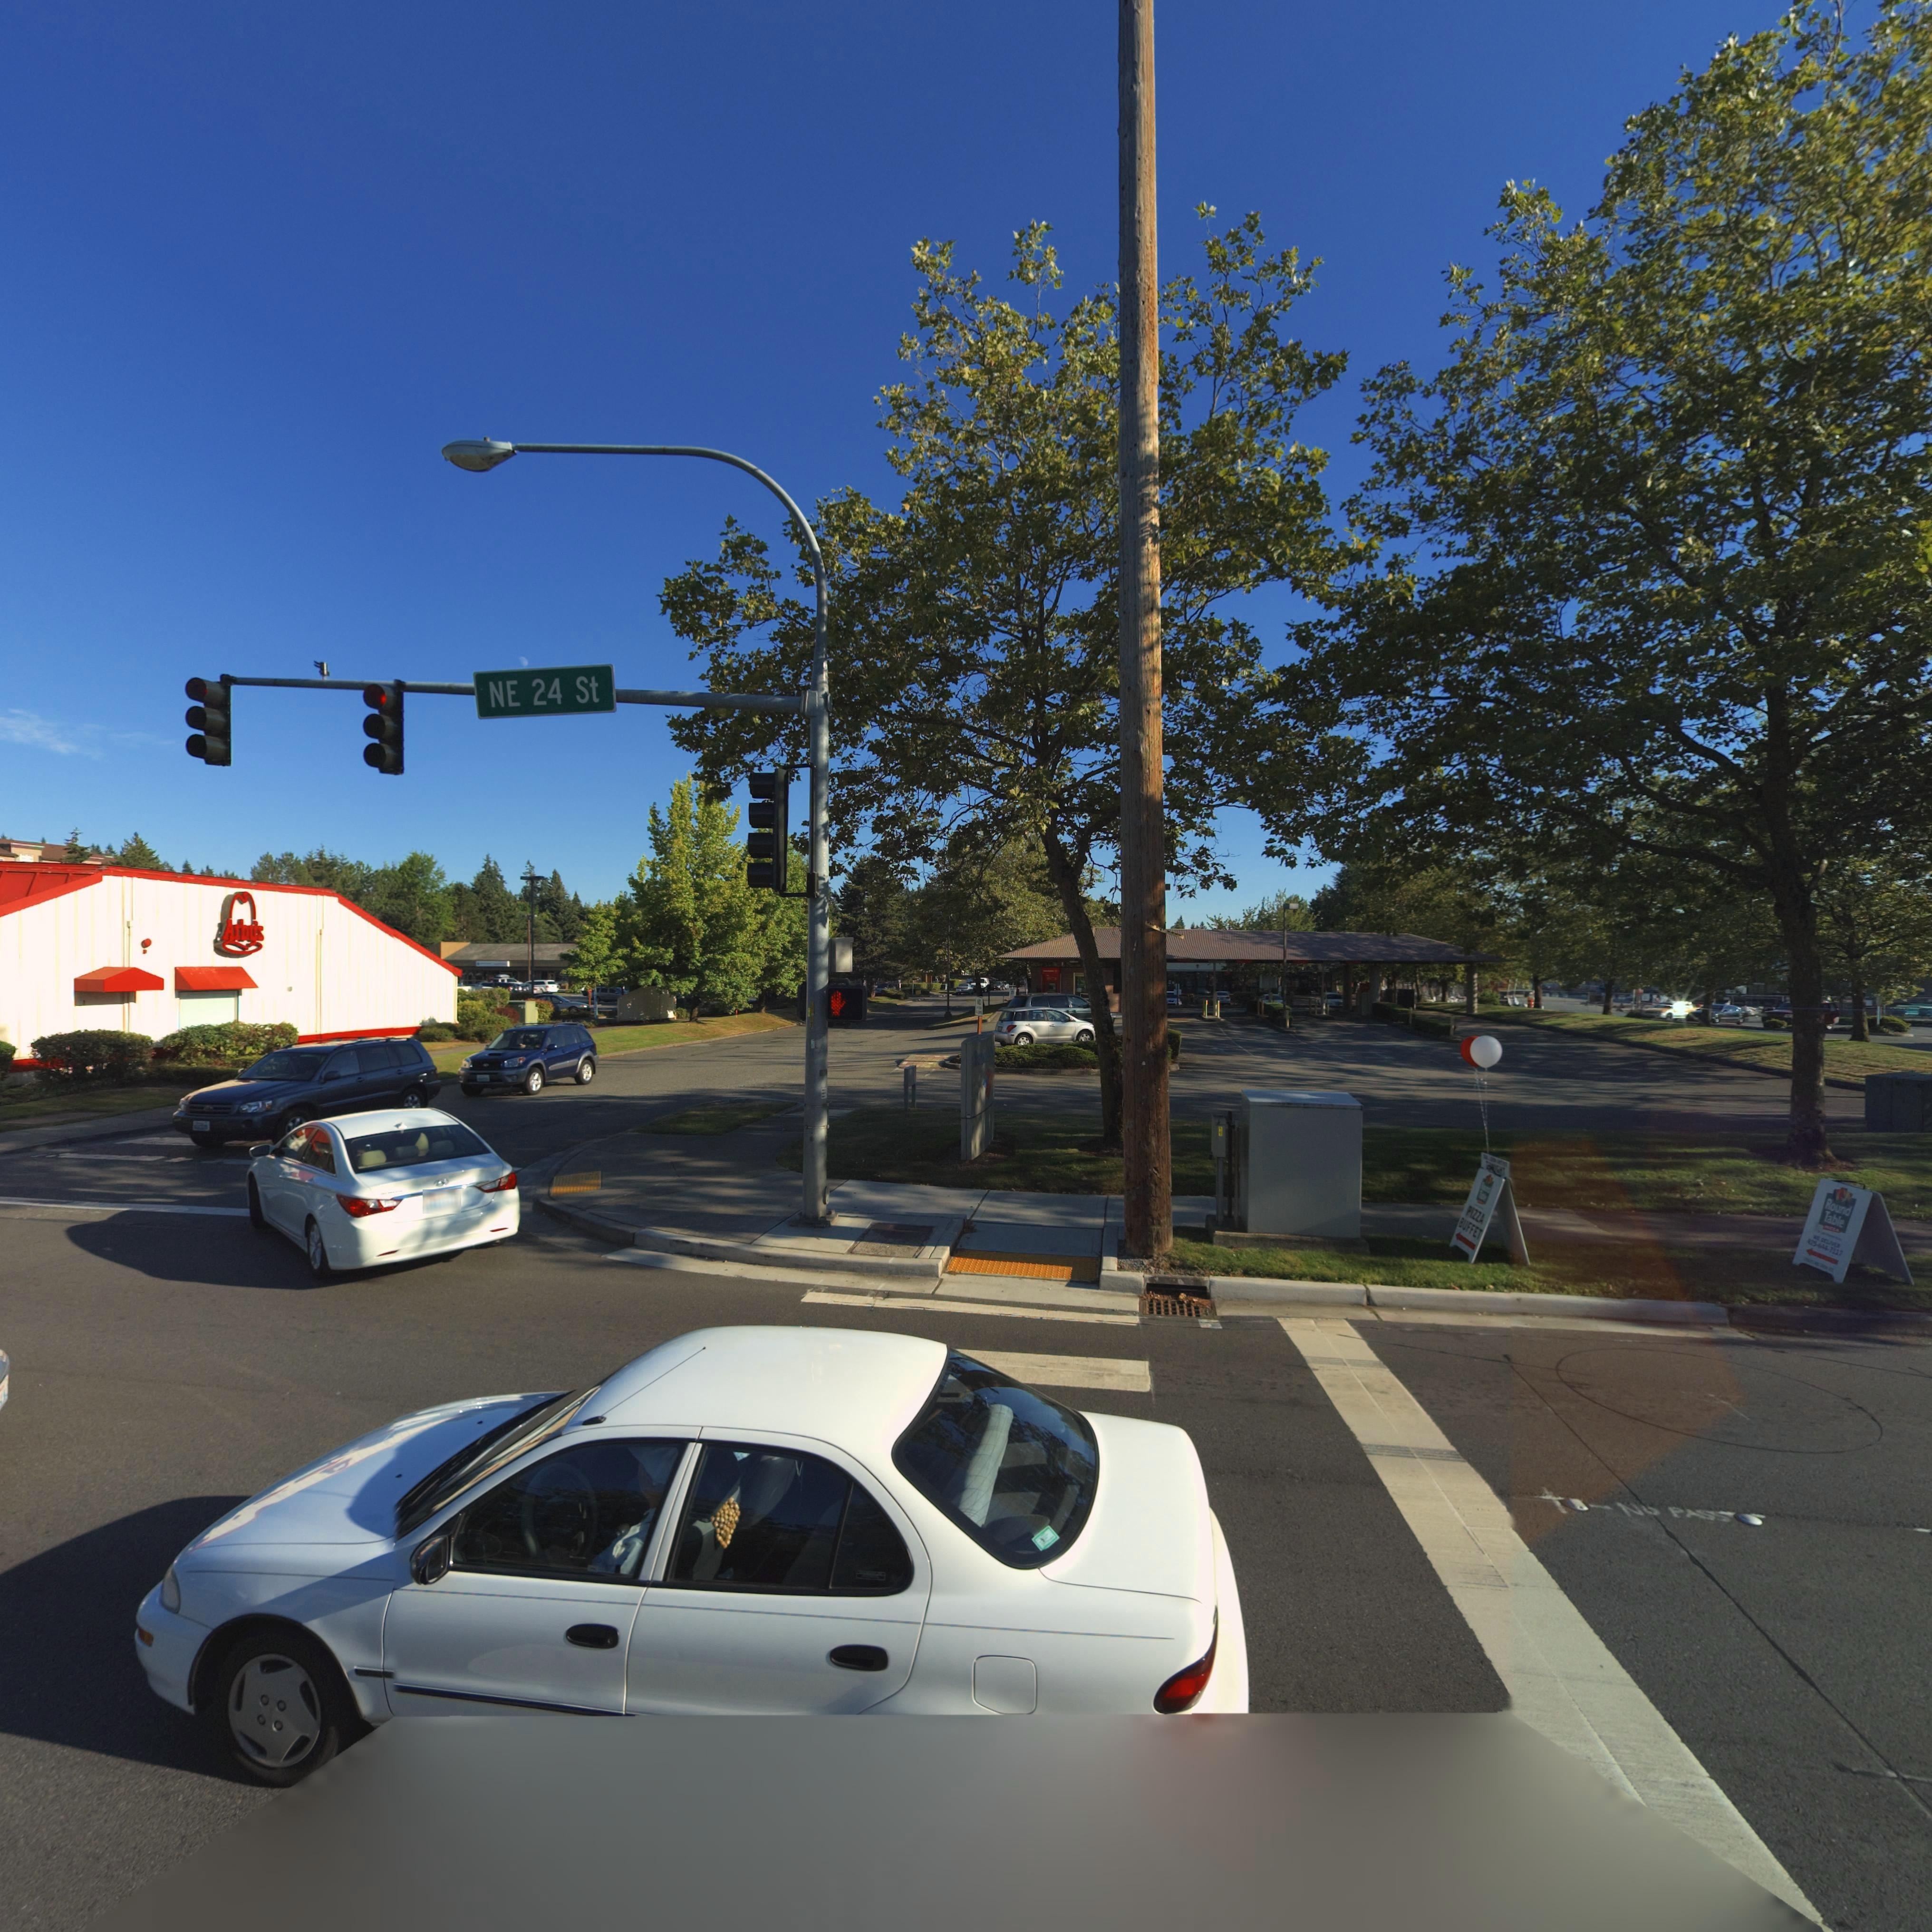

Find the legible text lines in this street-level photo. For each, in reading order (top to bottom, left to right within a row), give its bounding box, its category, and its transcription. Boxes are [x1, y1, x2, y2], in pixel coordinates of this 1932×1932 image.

[484, 671, 607, 711] StreetName: NE 24 St
[218, 916, 267, 948] BusinessName: Arby*s
[1822, 1208, 1847, 1230] BusinessName: Table
[1823, 1197, 1855, 1218] BusinessName: Round